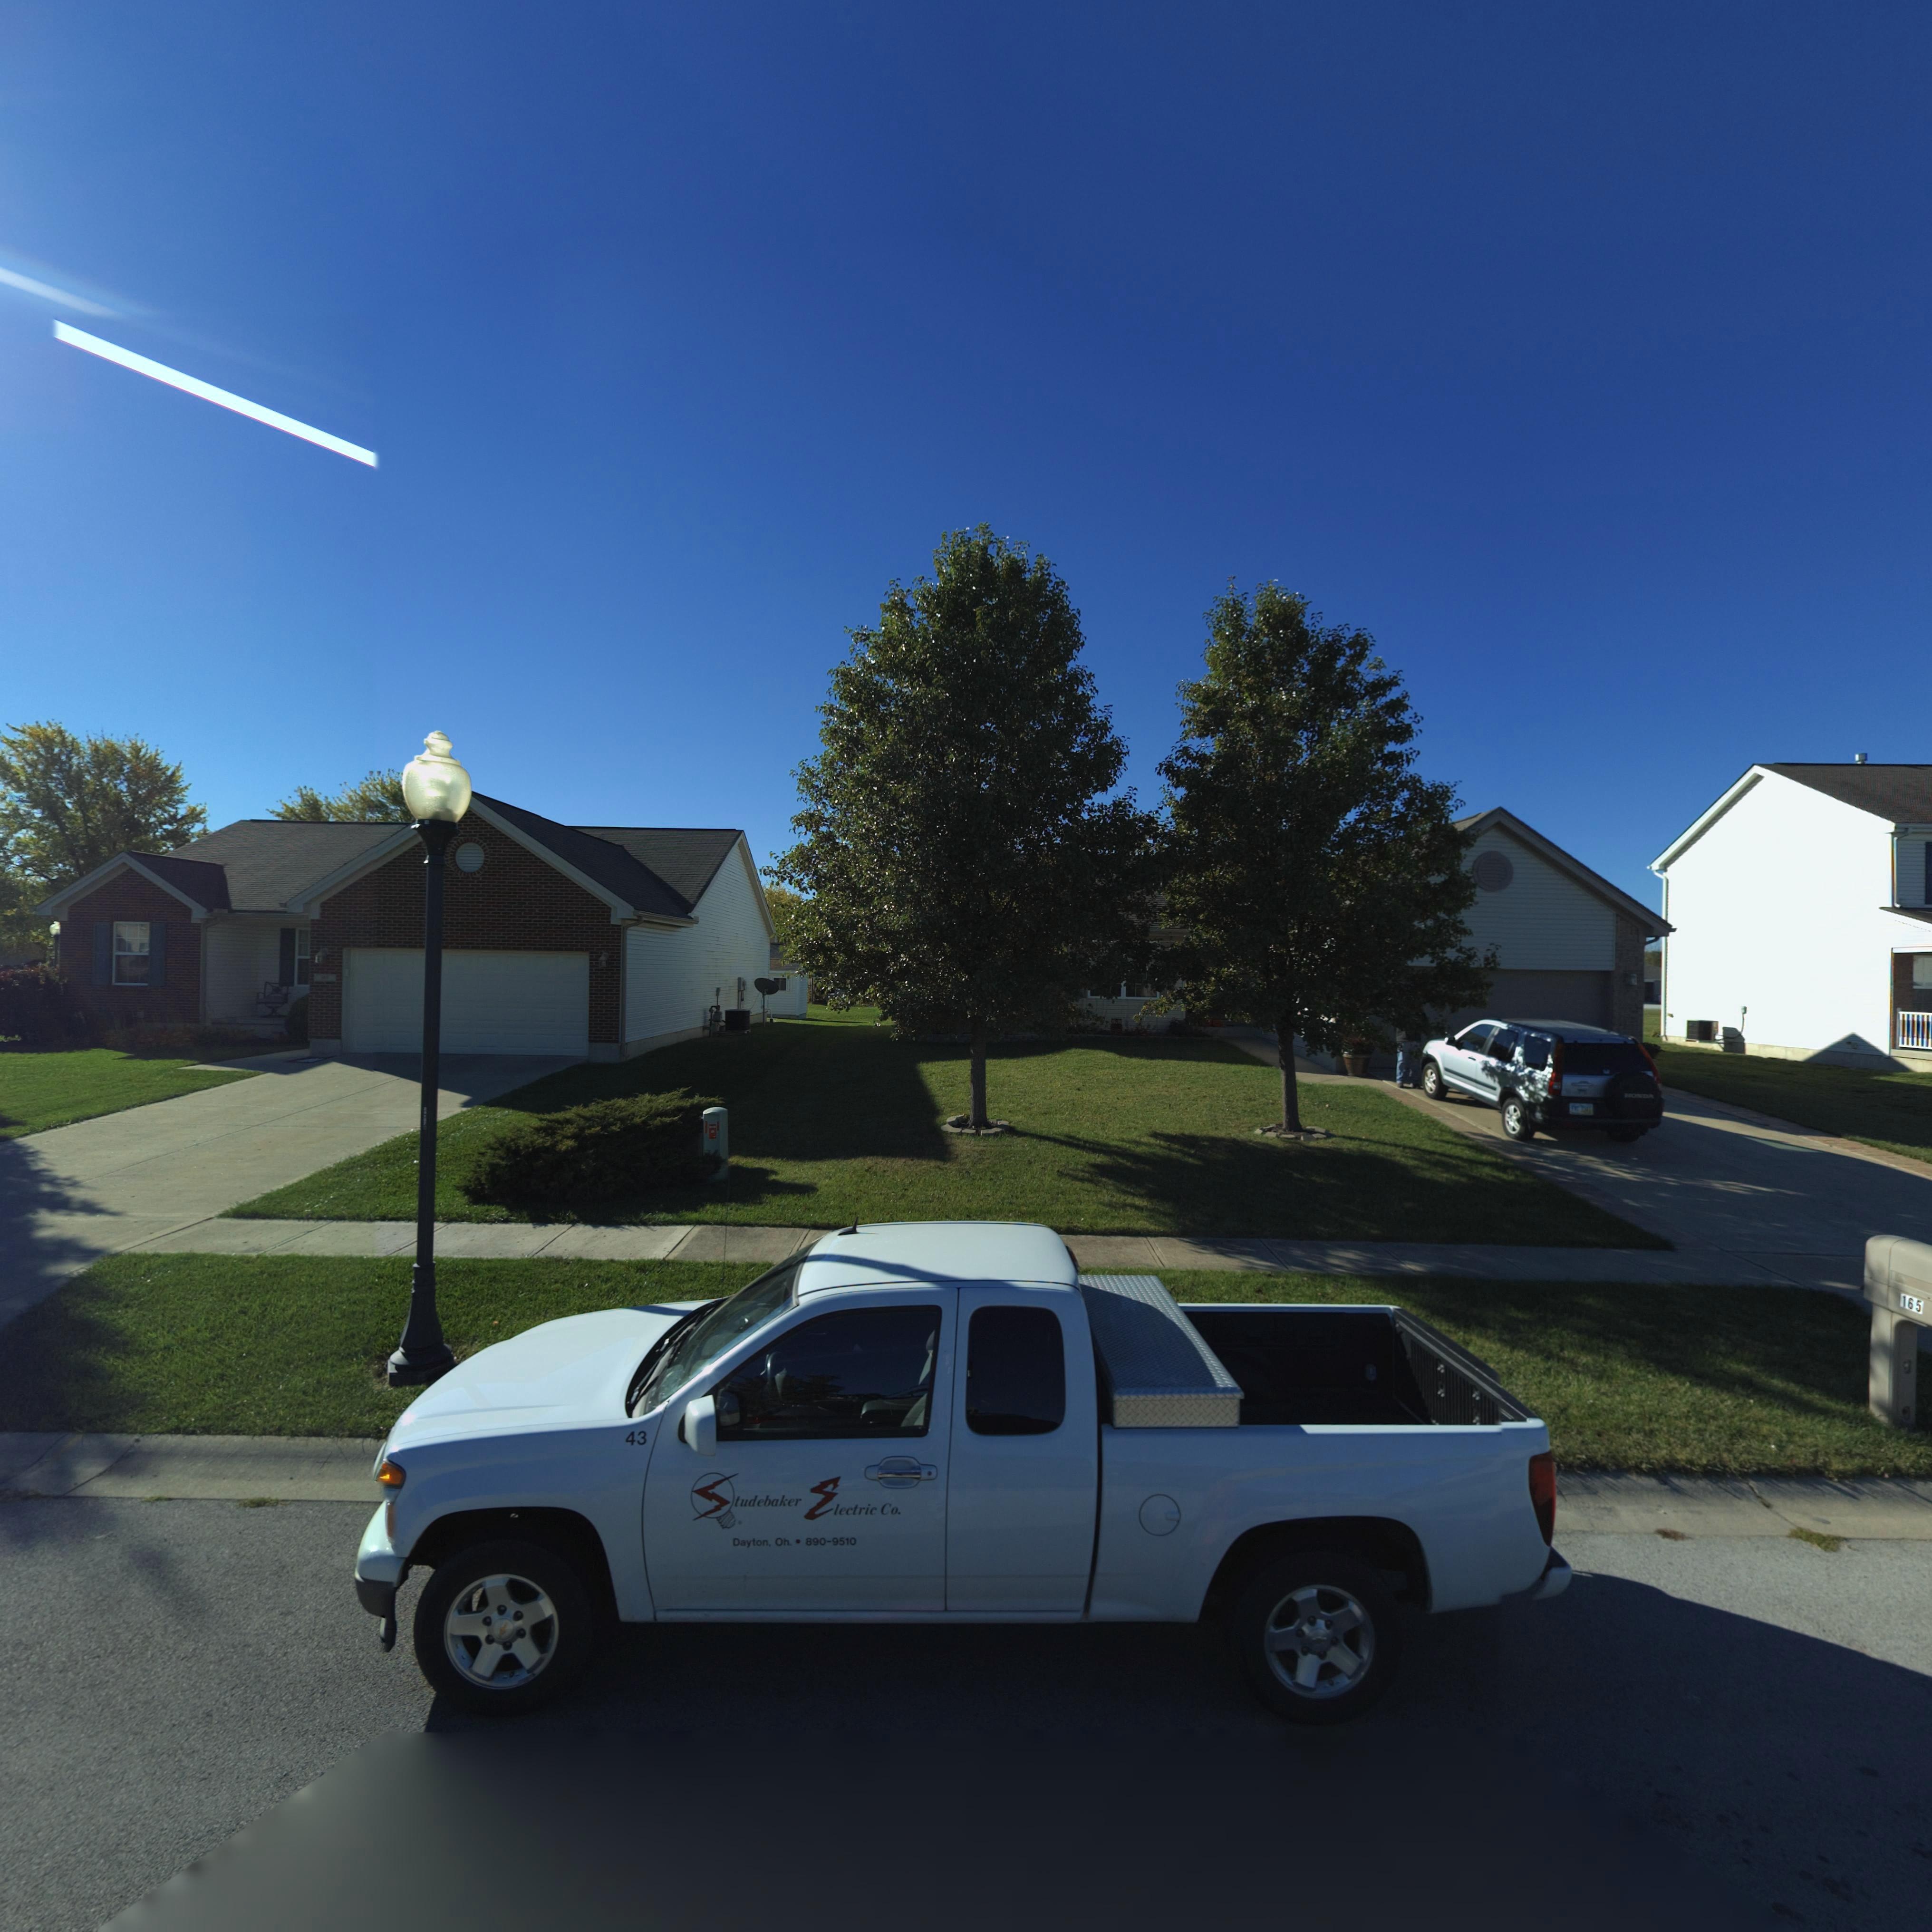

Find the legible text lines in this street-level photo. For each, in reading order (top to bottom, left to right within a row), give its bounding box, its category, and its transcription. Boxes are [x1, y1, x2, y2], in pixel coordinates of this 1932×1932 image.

[319, 974, 329, 980] StreetNumber: 163
[1902, 1294, 1923, 1314] StreetNumber: 165